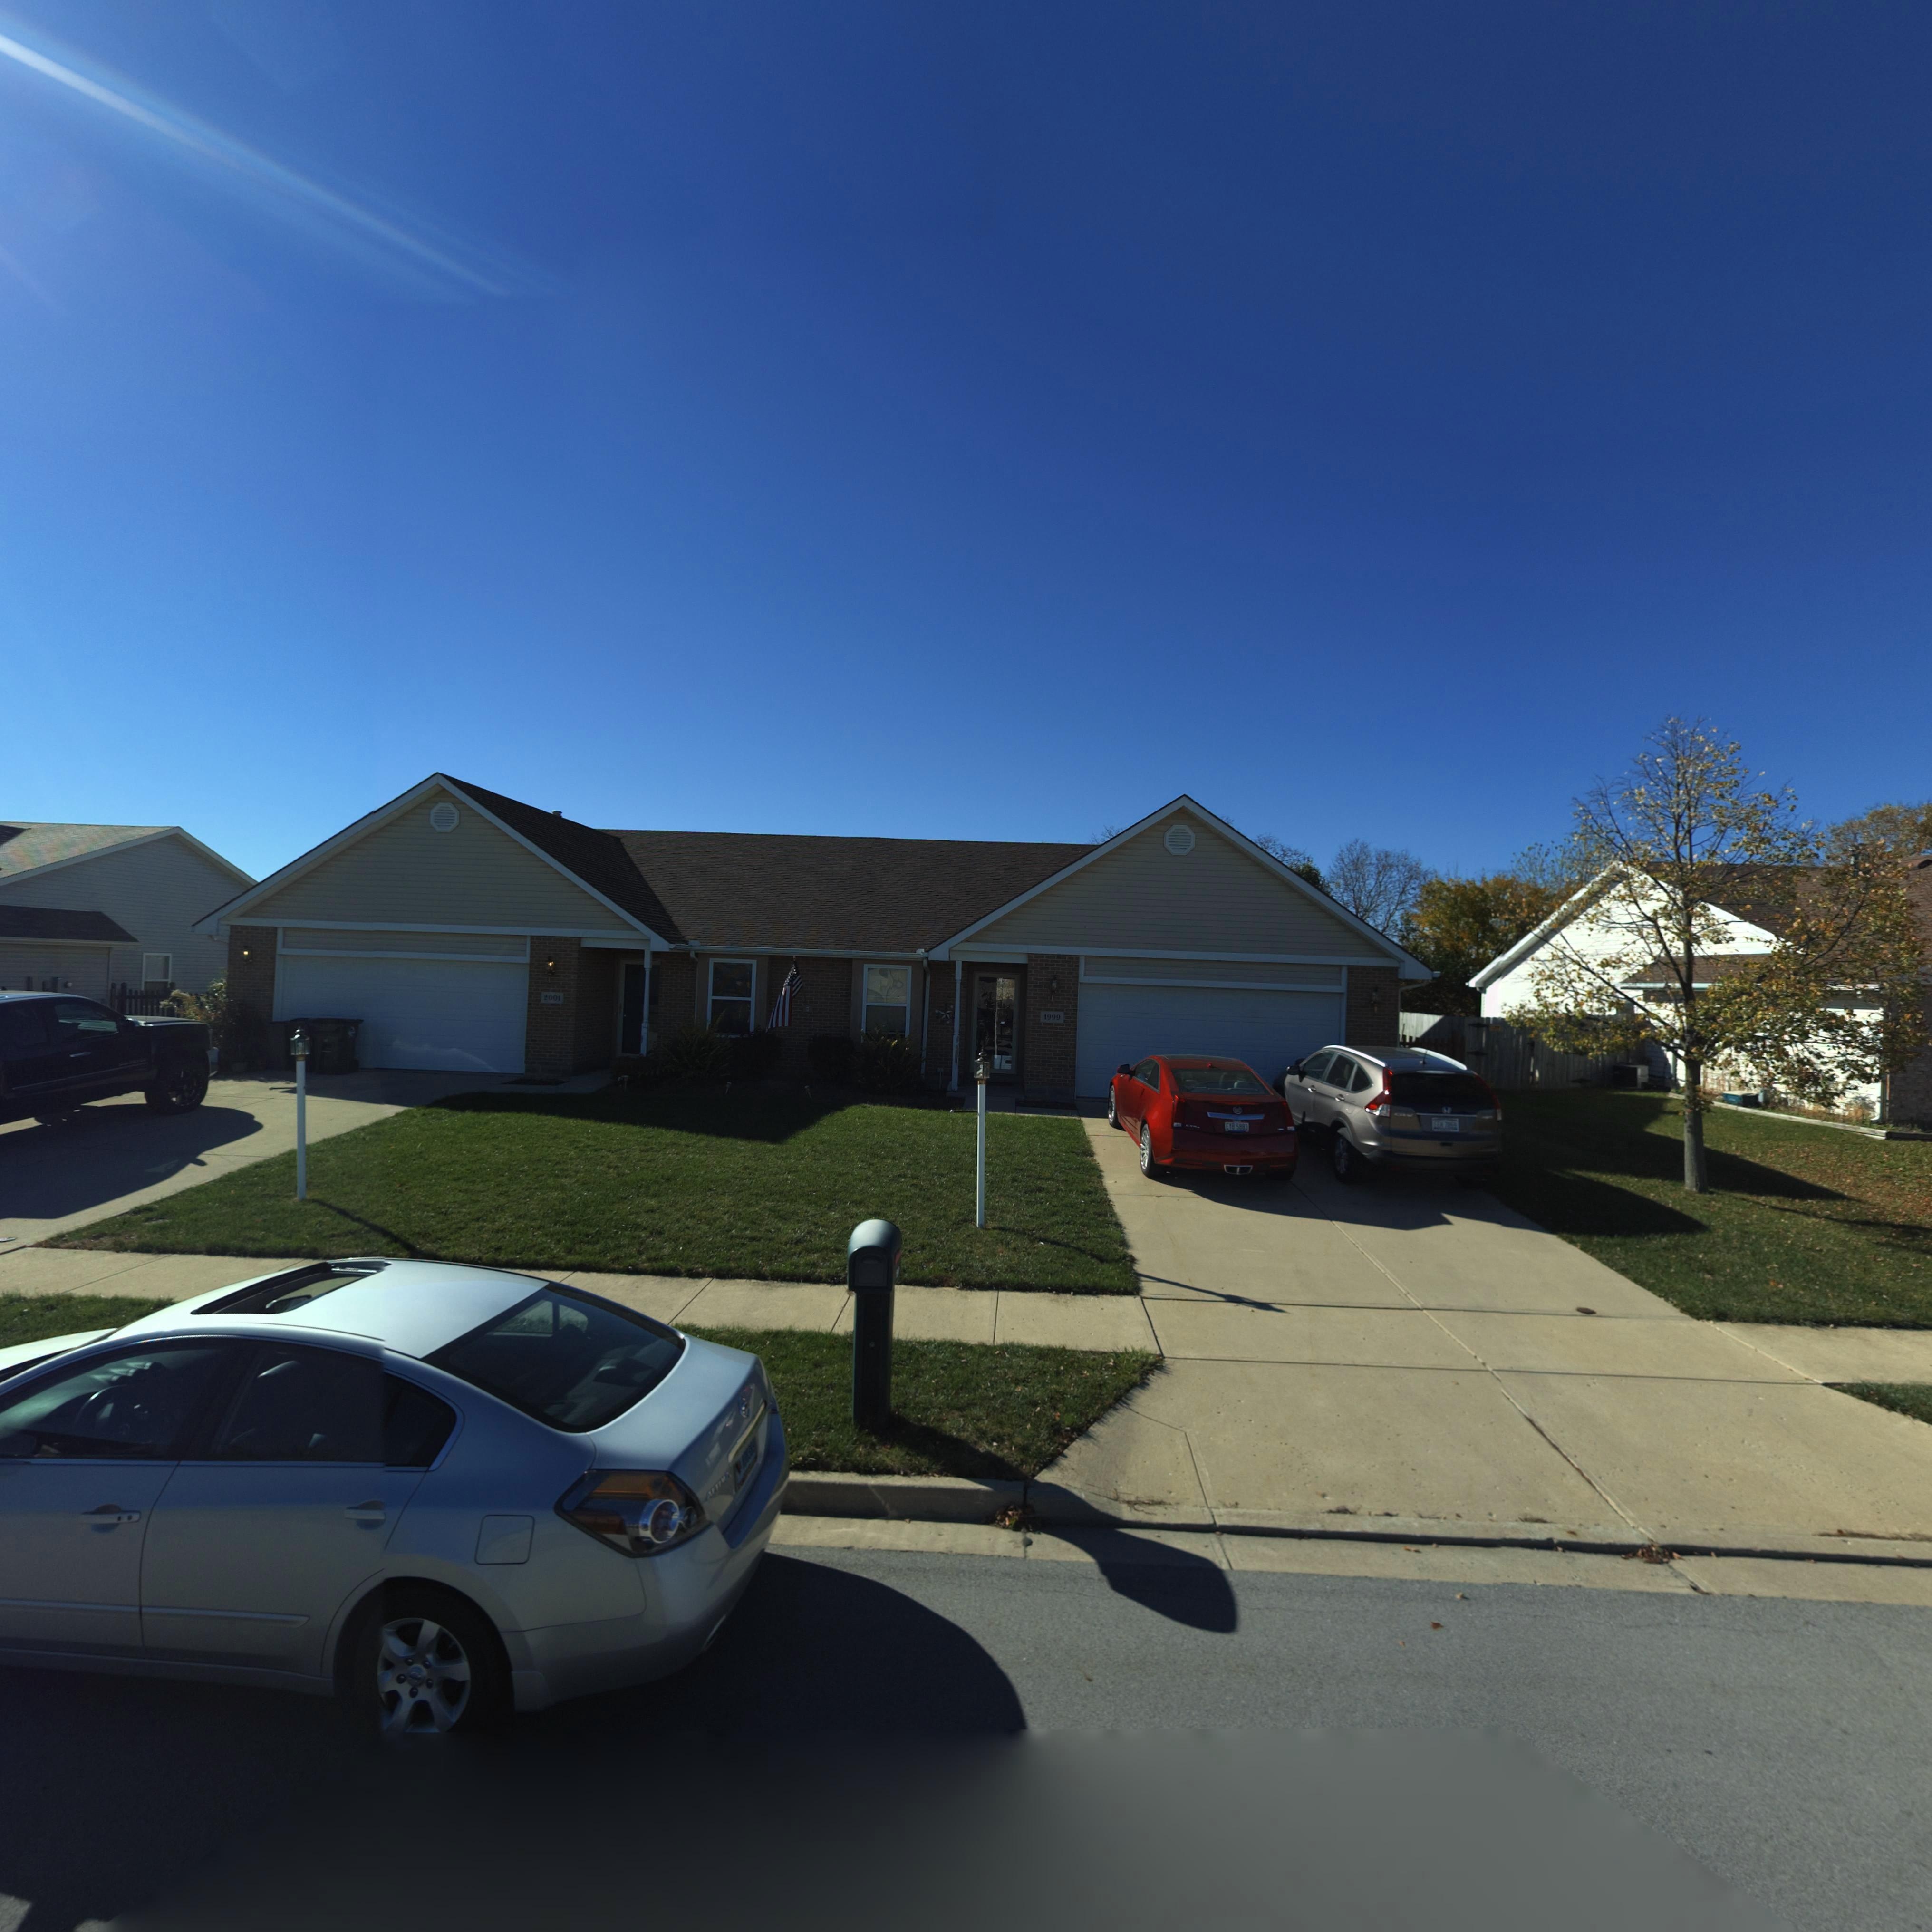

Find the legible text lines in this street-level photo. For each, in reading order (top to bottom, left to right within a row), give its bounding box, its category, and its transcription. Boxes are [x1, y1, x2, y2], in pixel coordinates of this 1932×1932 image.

[542, 994, 561, 1002] StreetNumber: 2001
[1043, 1013, 1061, 1021] StreetNumber: 1999